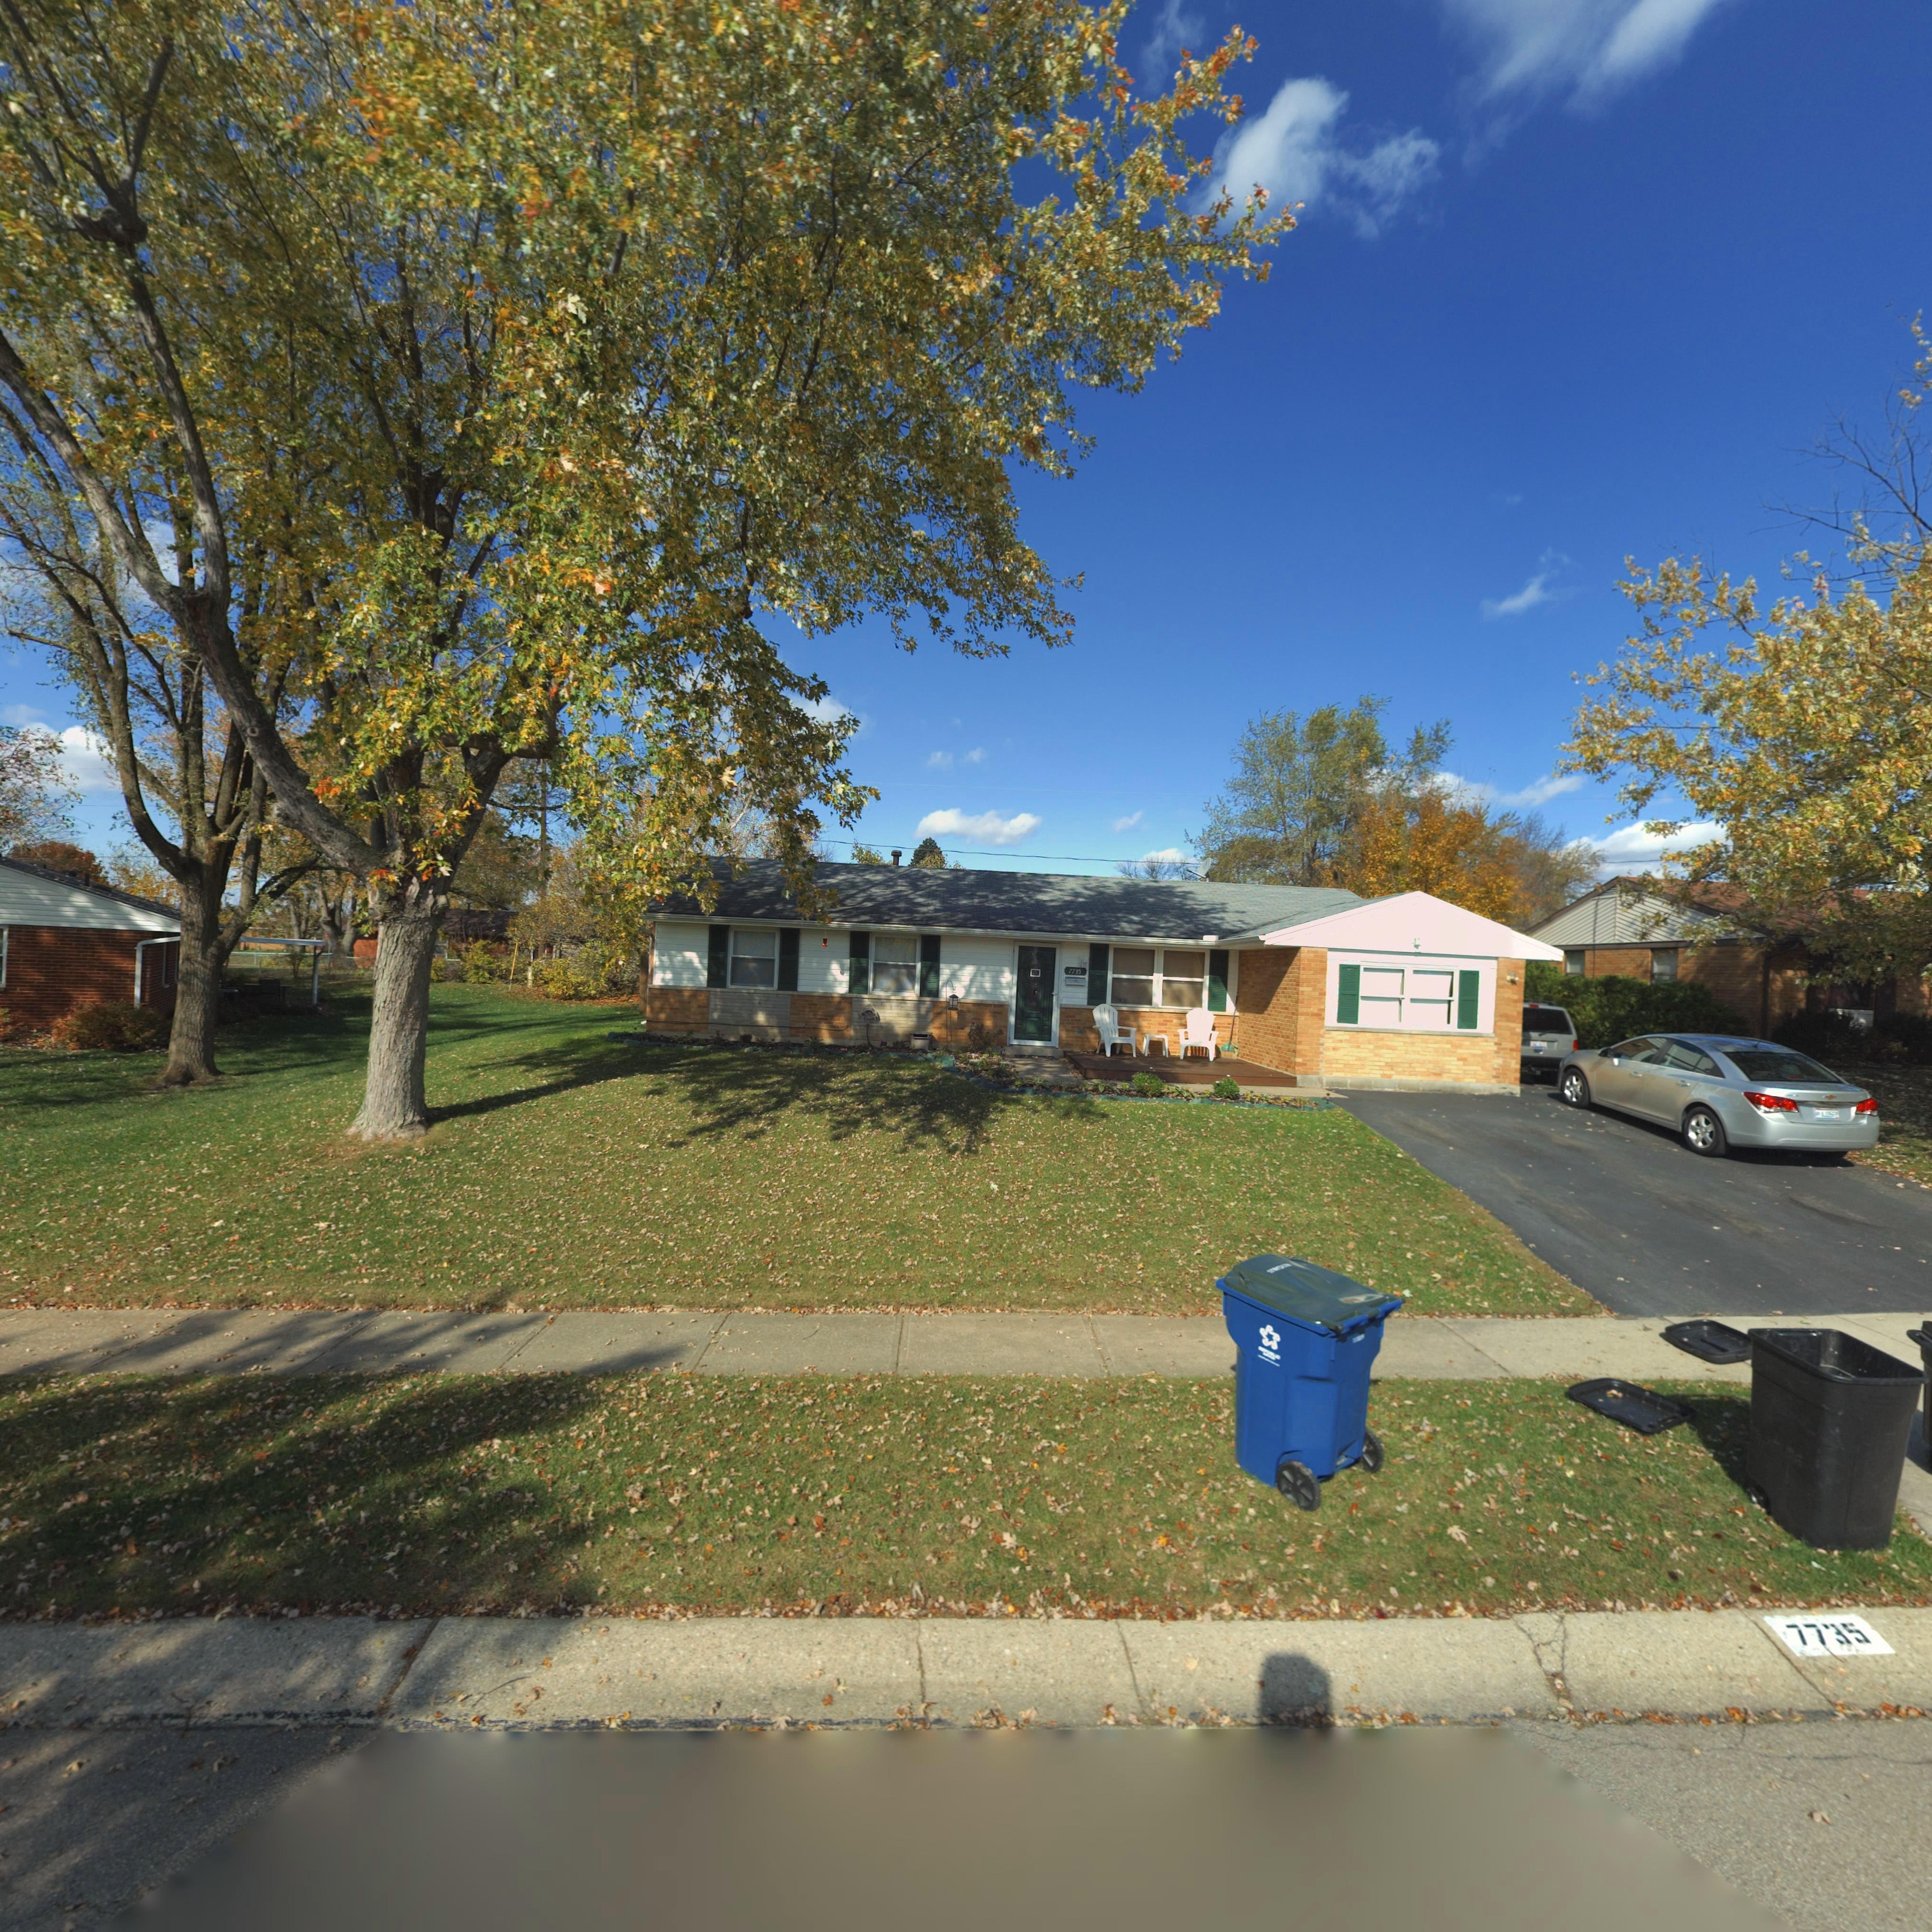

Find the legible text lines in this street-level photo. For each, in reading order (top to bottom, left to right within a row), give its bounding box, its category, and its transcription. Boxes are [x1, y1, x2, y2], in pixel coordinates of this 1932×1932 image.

[1067, 968, 1082, 975] StreetNumber: 7735
[1785, 1622, 1874, 1646] StreetNumber: 7735